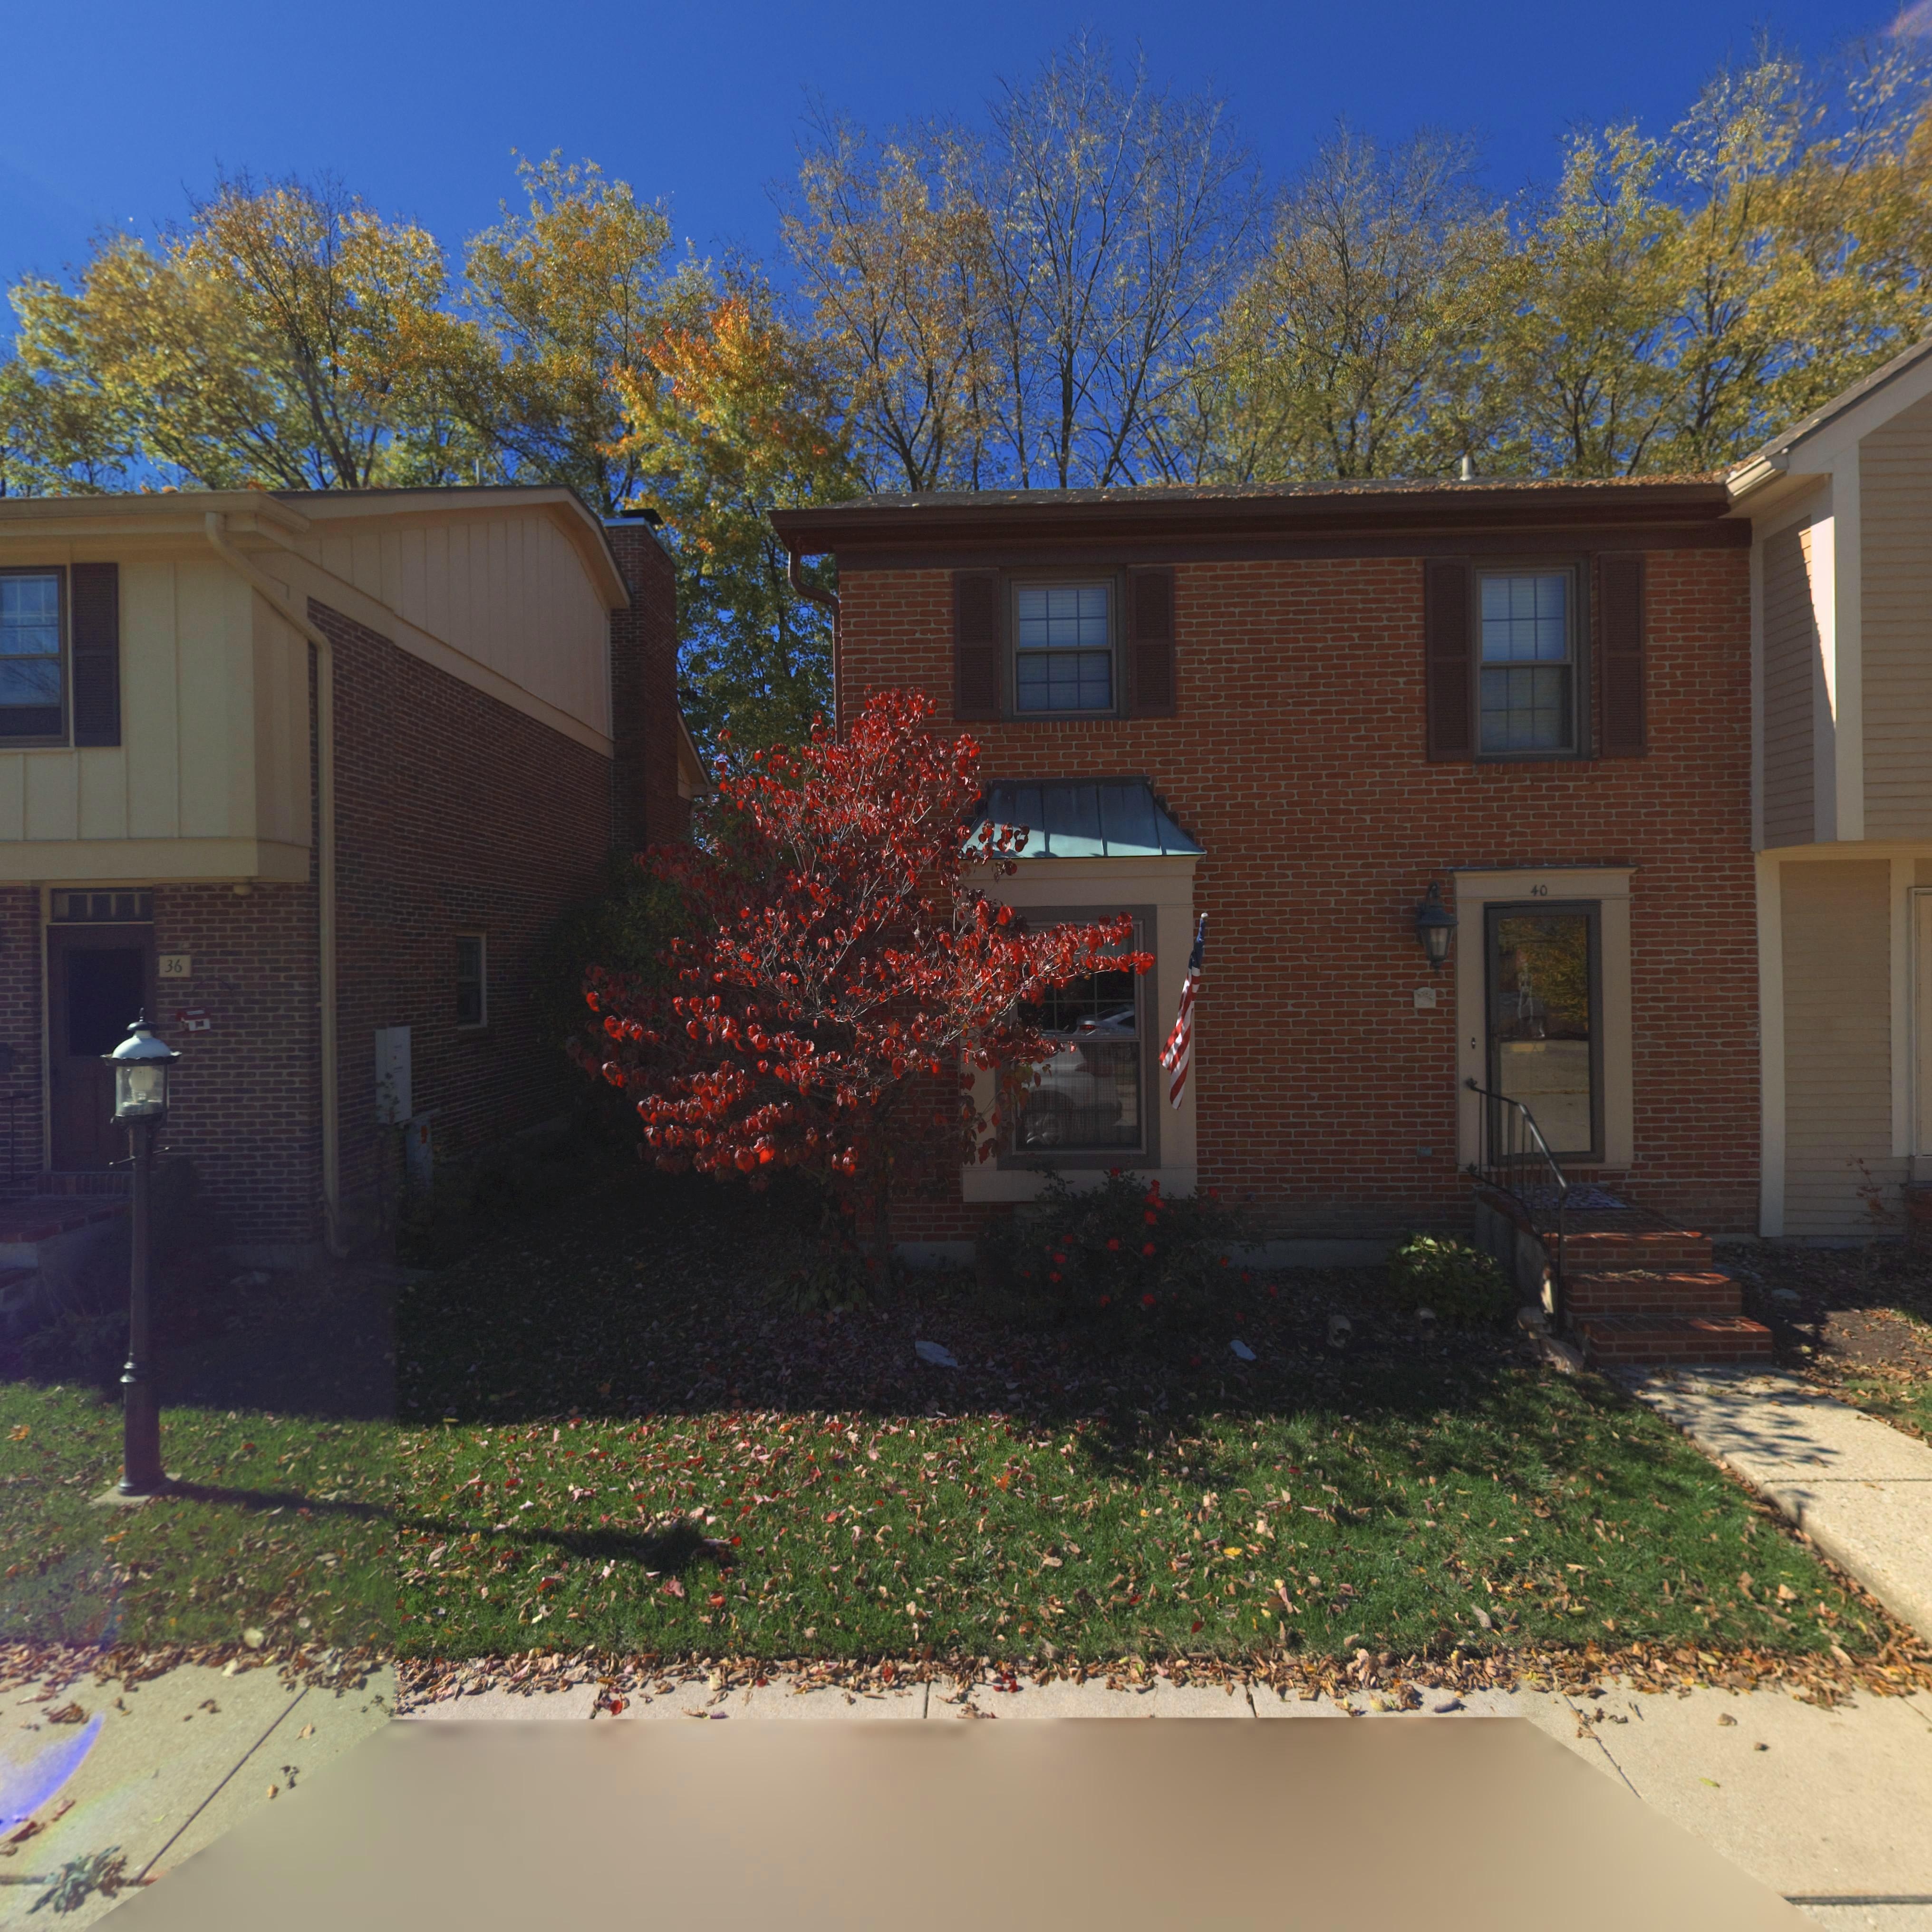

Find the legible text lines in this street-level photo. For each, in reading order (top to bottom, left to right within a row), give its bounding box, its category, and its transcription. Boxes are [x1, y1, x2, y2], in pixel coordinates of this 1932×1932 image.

[1529, 884, 1548, 897] StreetNumber: 40
[164, 958, 183, 973] StreetNumber: 36